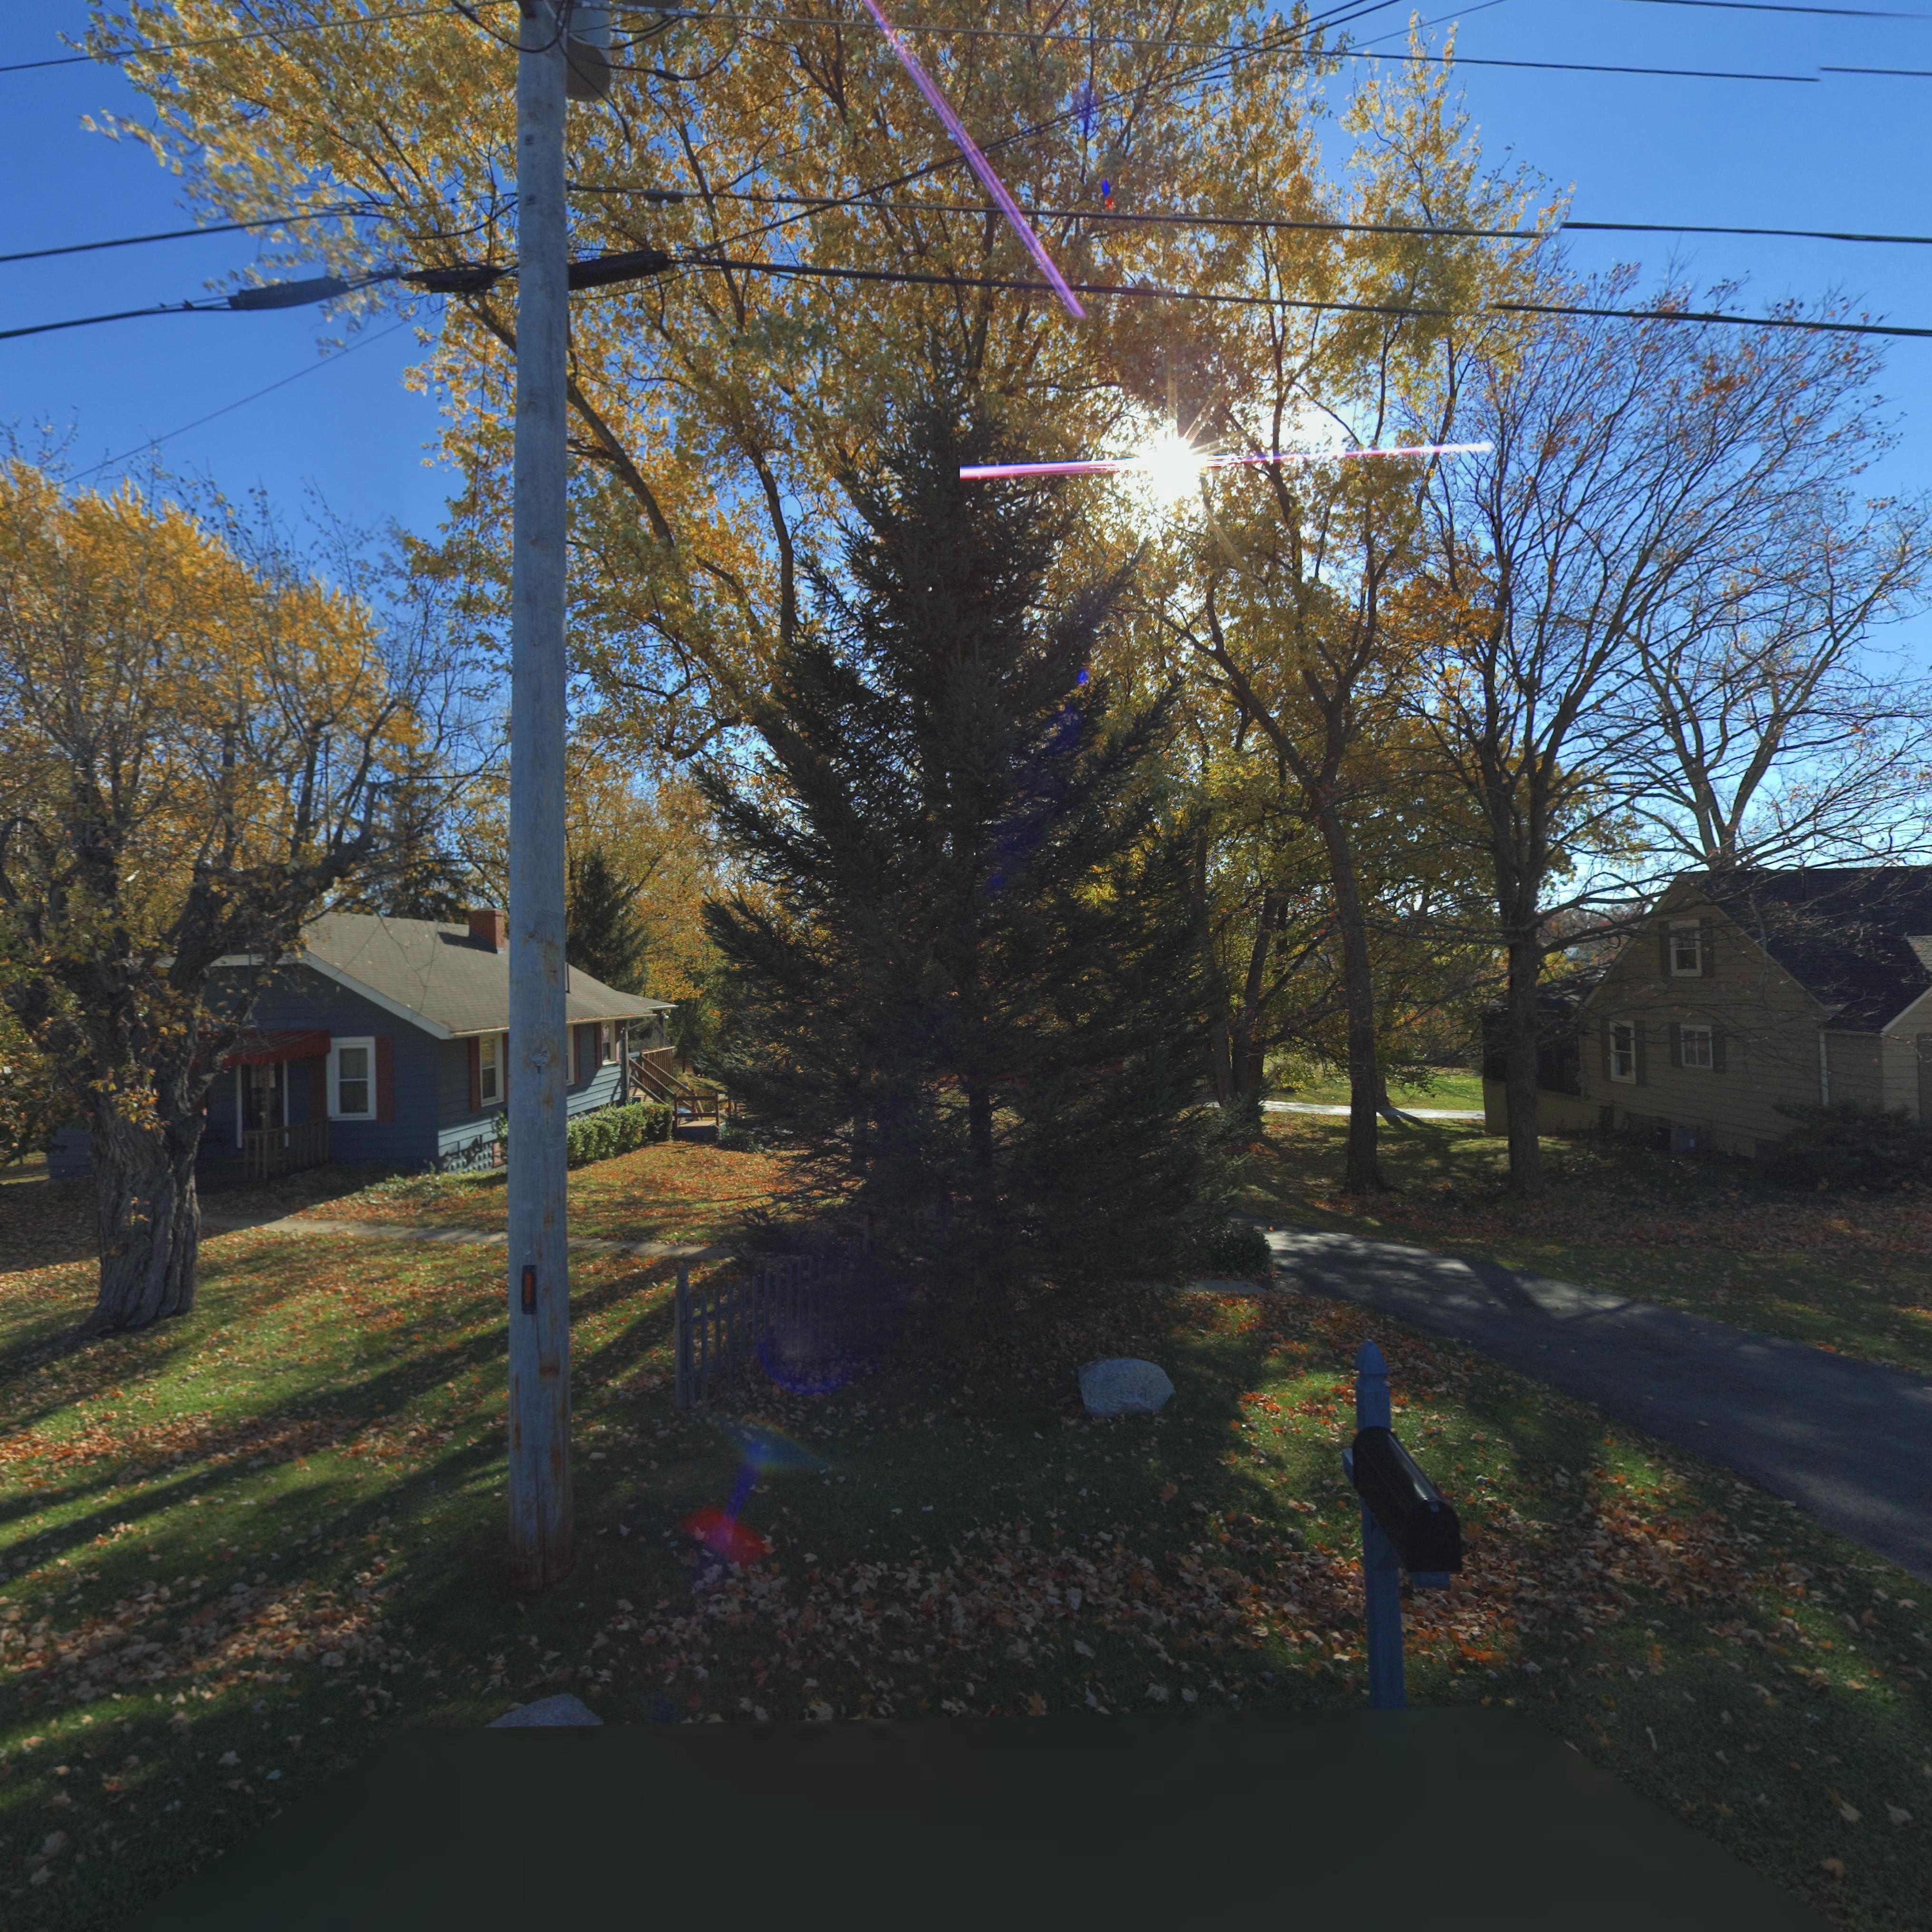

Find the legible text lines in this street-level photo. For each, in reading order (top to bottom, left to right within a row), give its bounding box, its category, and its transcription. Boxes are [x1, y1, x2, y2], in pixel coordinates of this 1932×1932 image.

[261, 1078, 268, 1112] StreetNumber: 7840